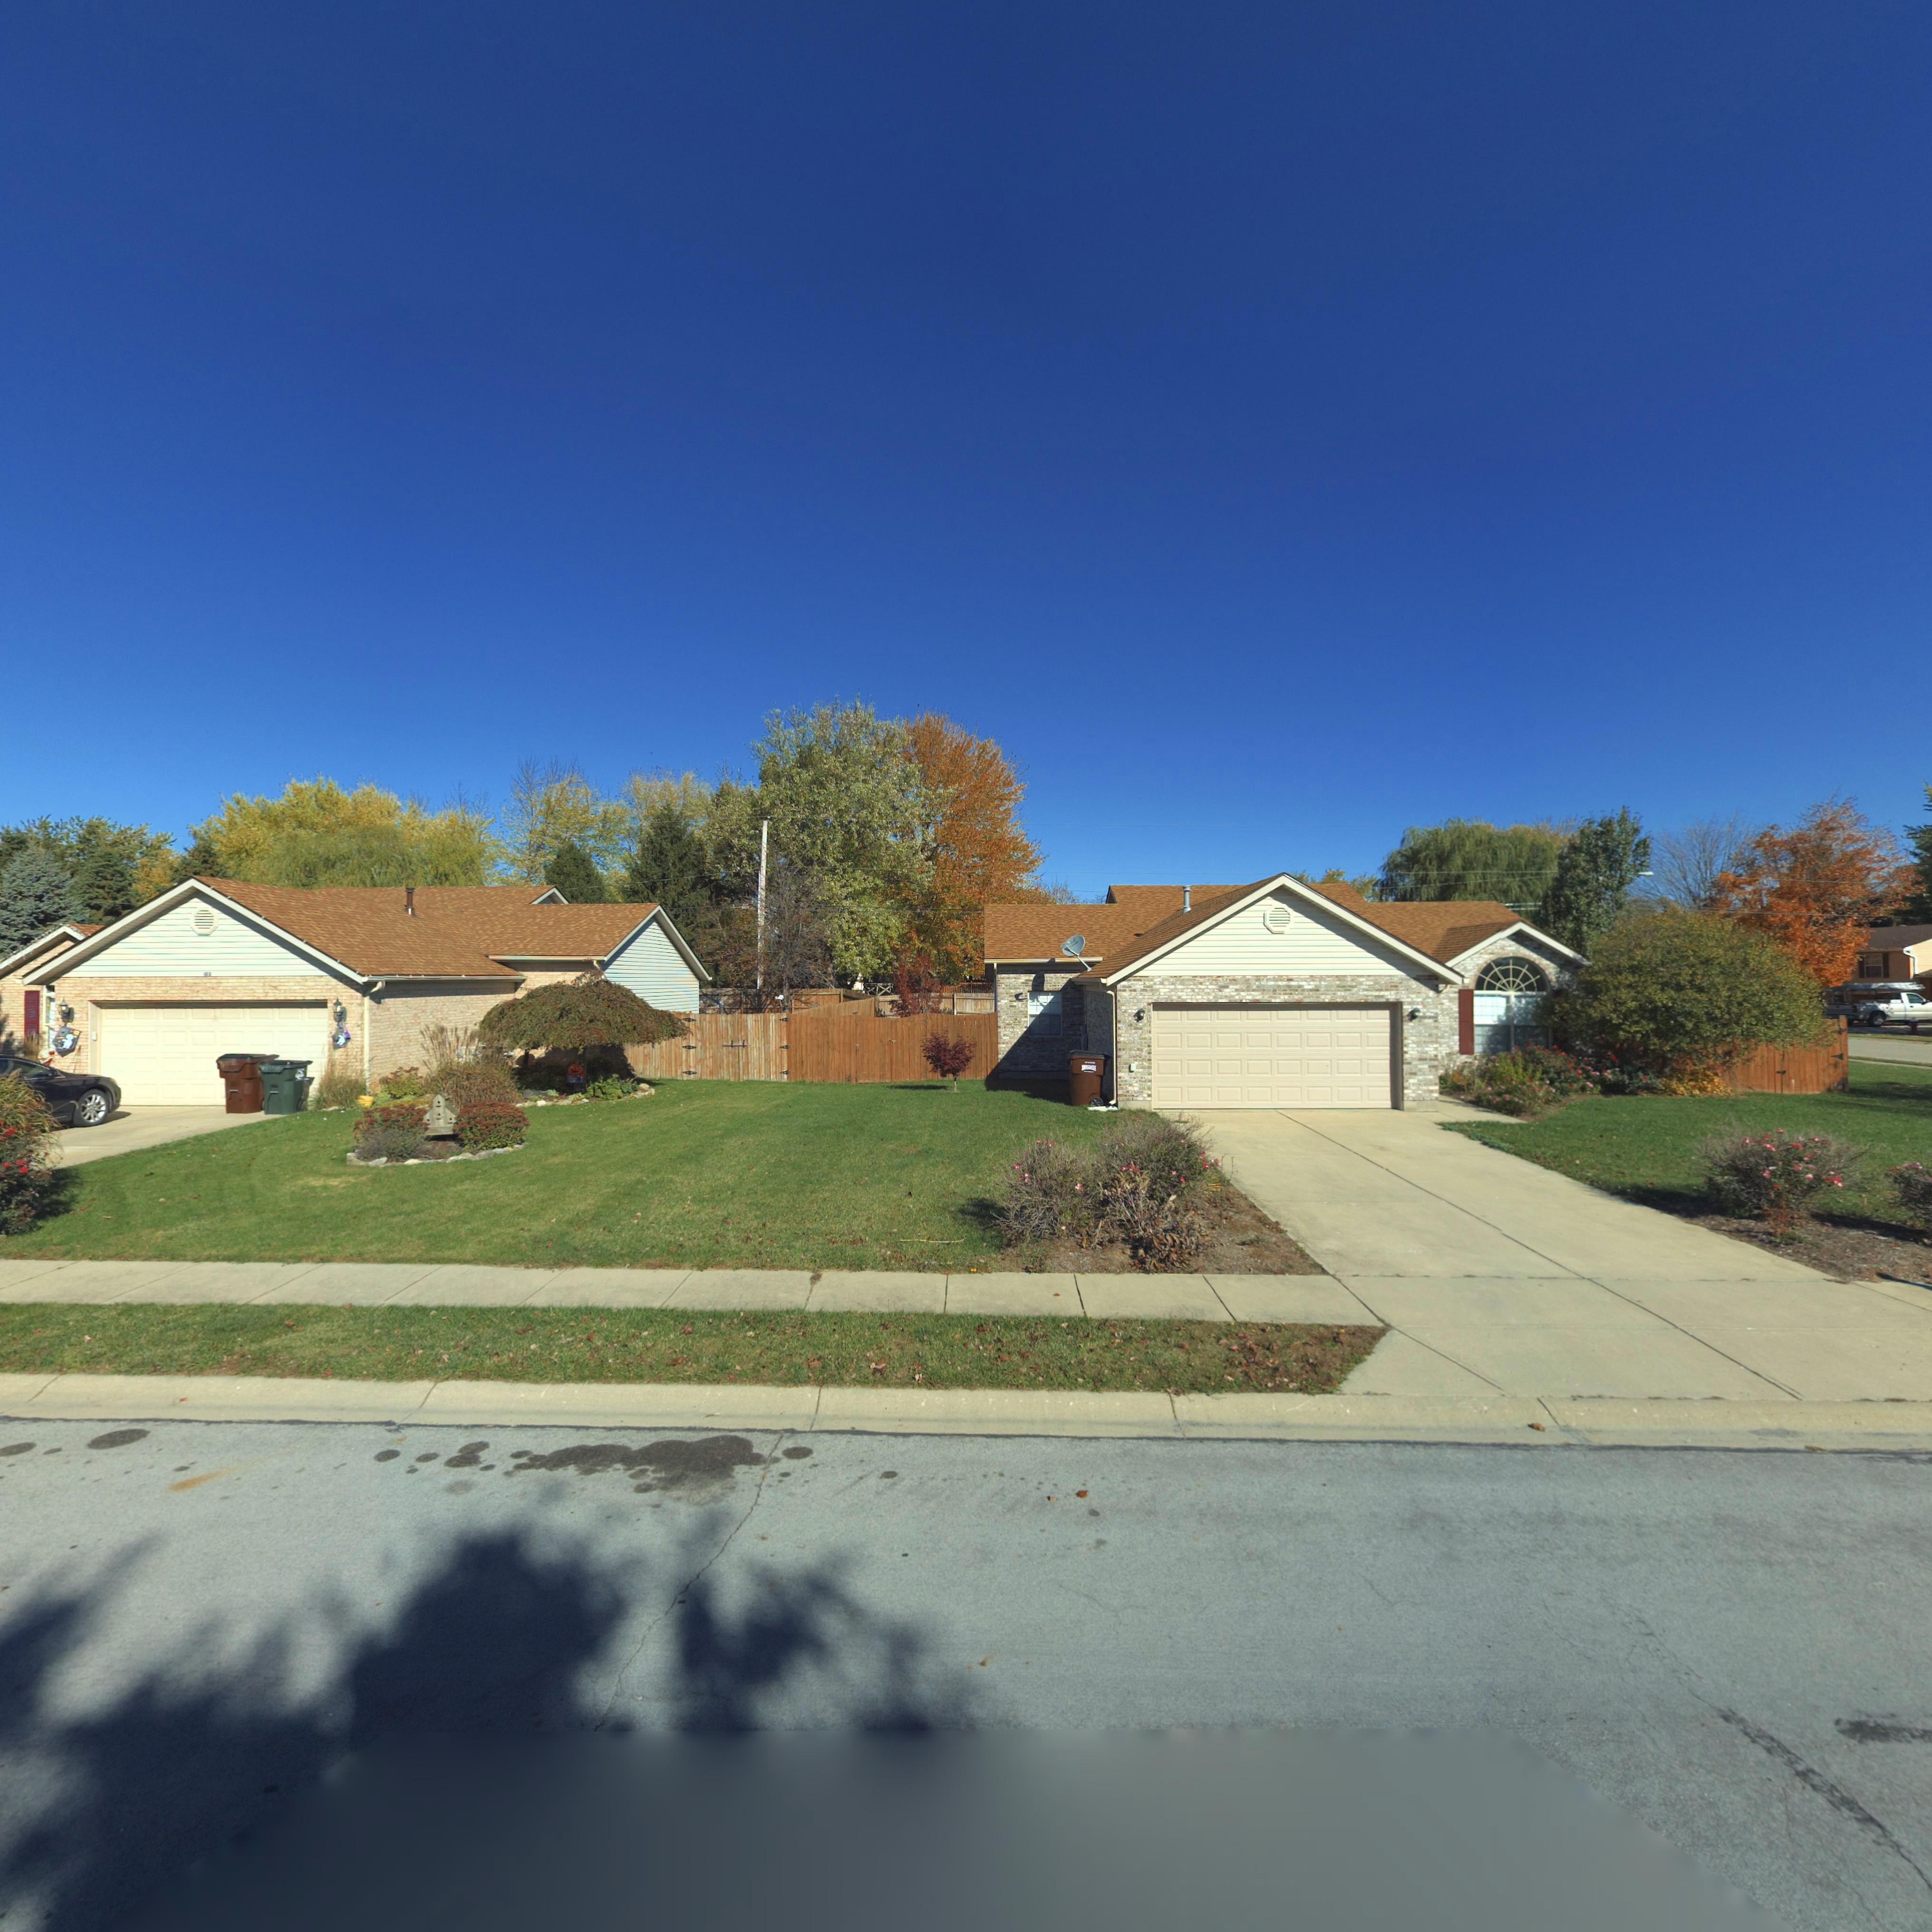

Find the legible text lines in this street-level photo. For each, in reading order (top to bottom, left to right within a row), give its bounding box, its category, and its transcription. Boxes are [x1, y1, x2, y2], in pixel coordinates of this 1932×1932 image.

[203, 972, 212, 977] StreetNumber: *0*